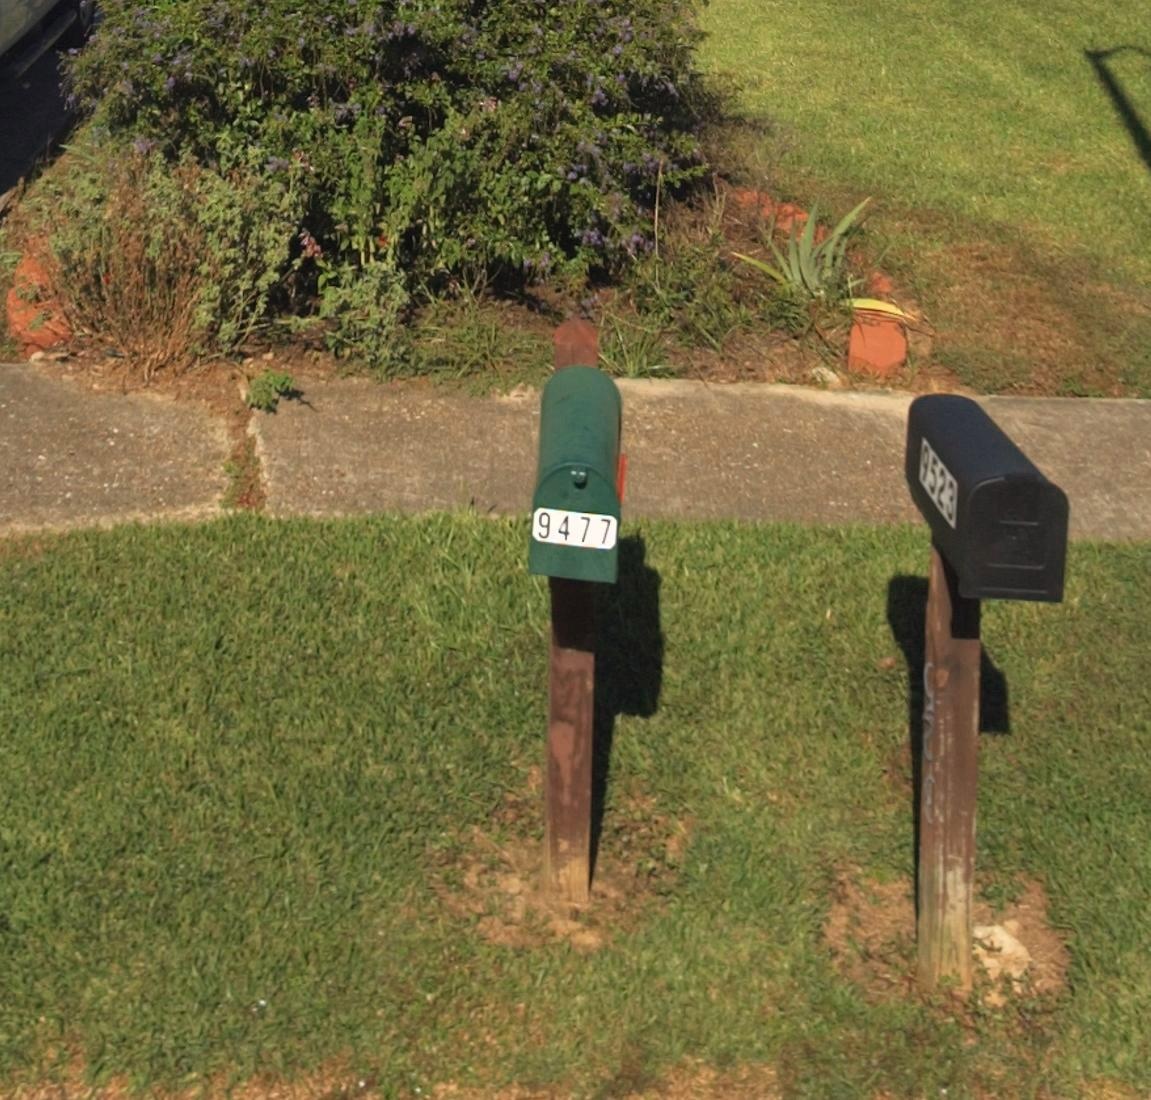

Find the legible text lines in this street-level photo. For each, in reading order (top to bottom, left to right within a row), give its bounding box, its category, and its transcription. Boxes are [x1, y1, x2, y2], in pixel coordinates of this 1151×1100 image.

[919, 438, 957, 525] StreetNumber: 9523
[535, 511, 615, 546] StreetNumber: 9477